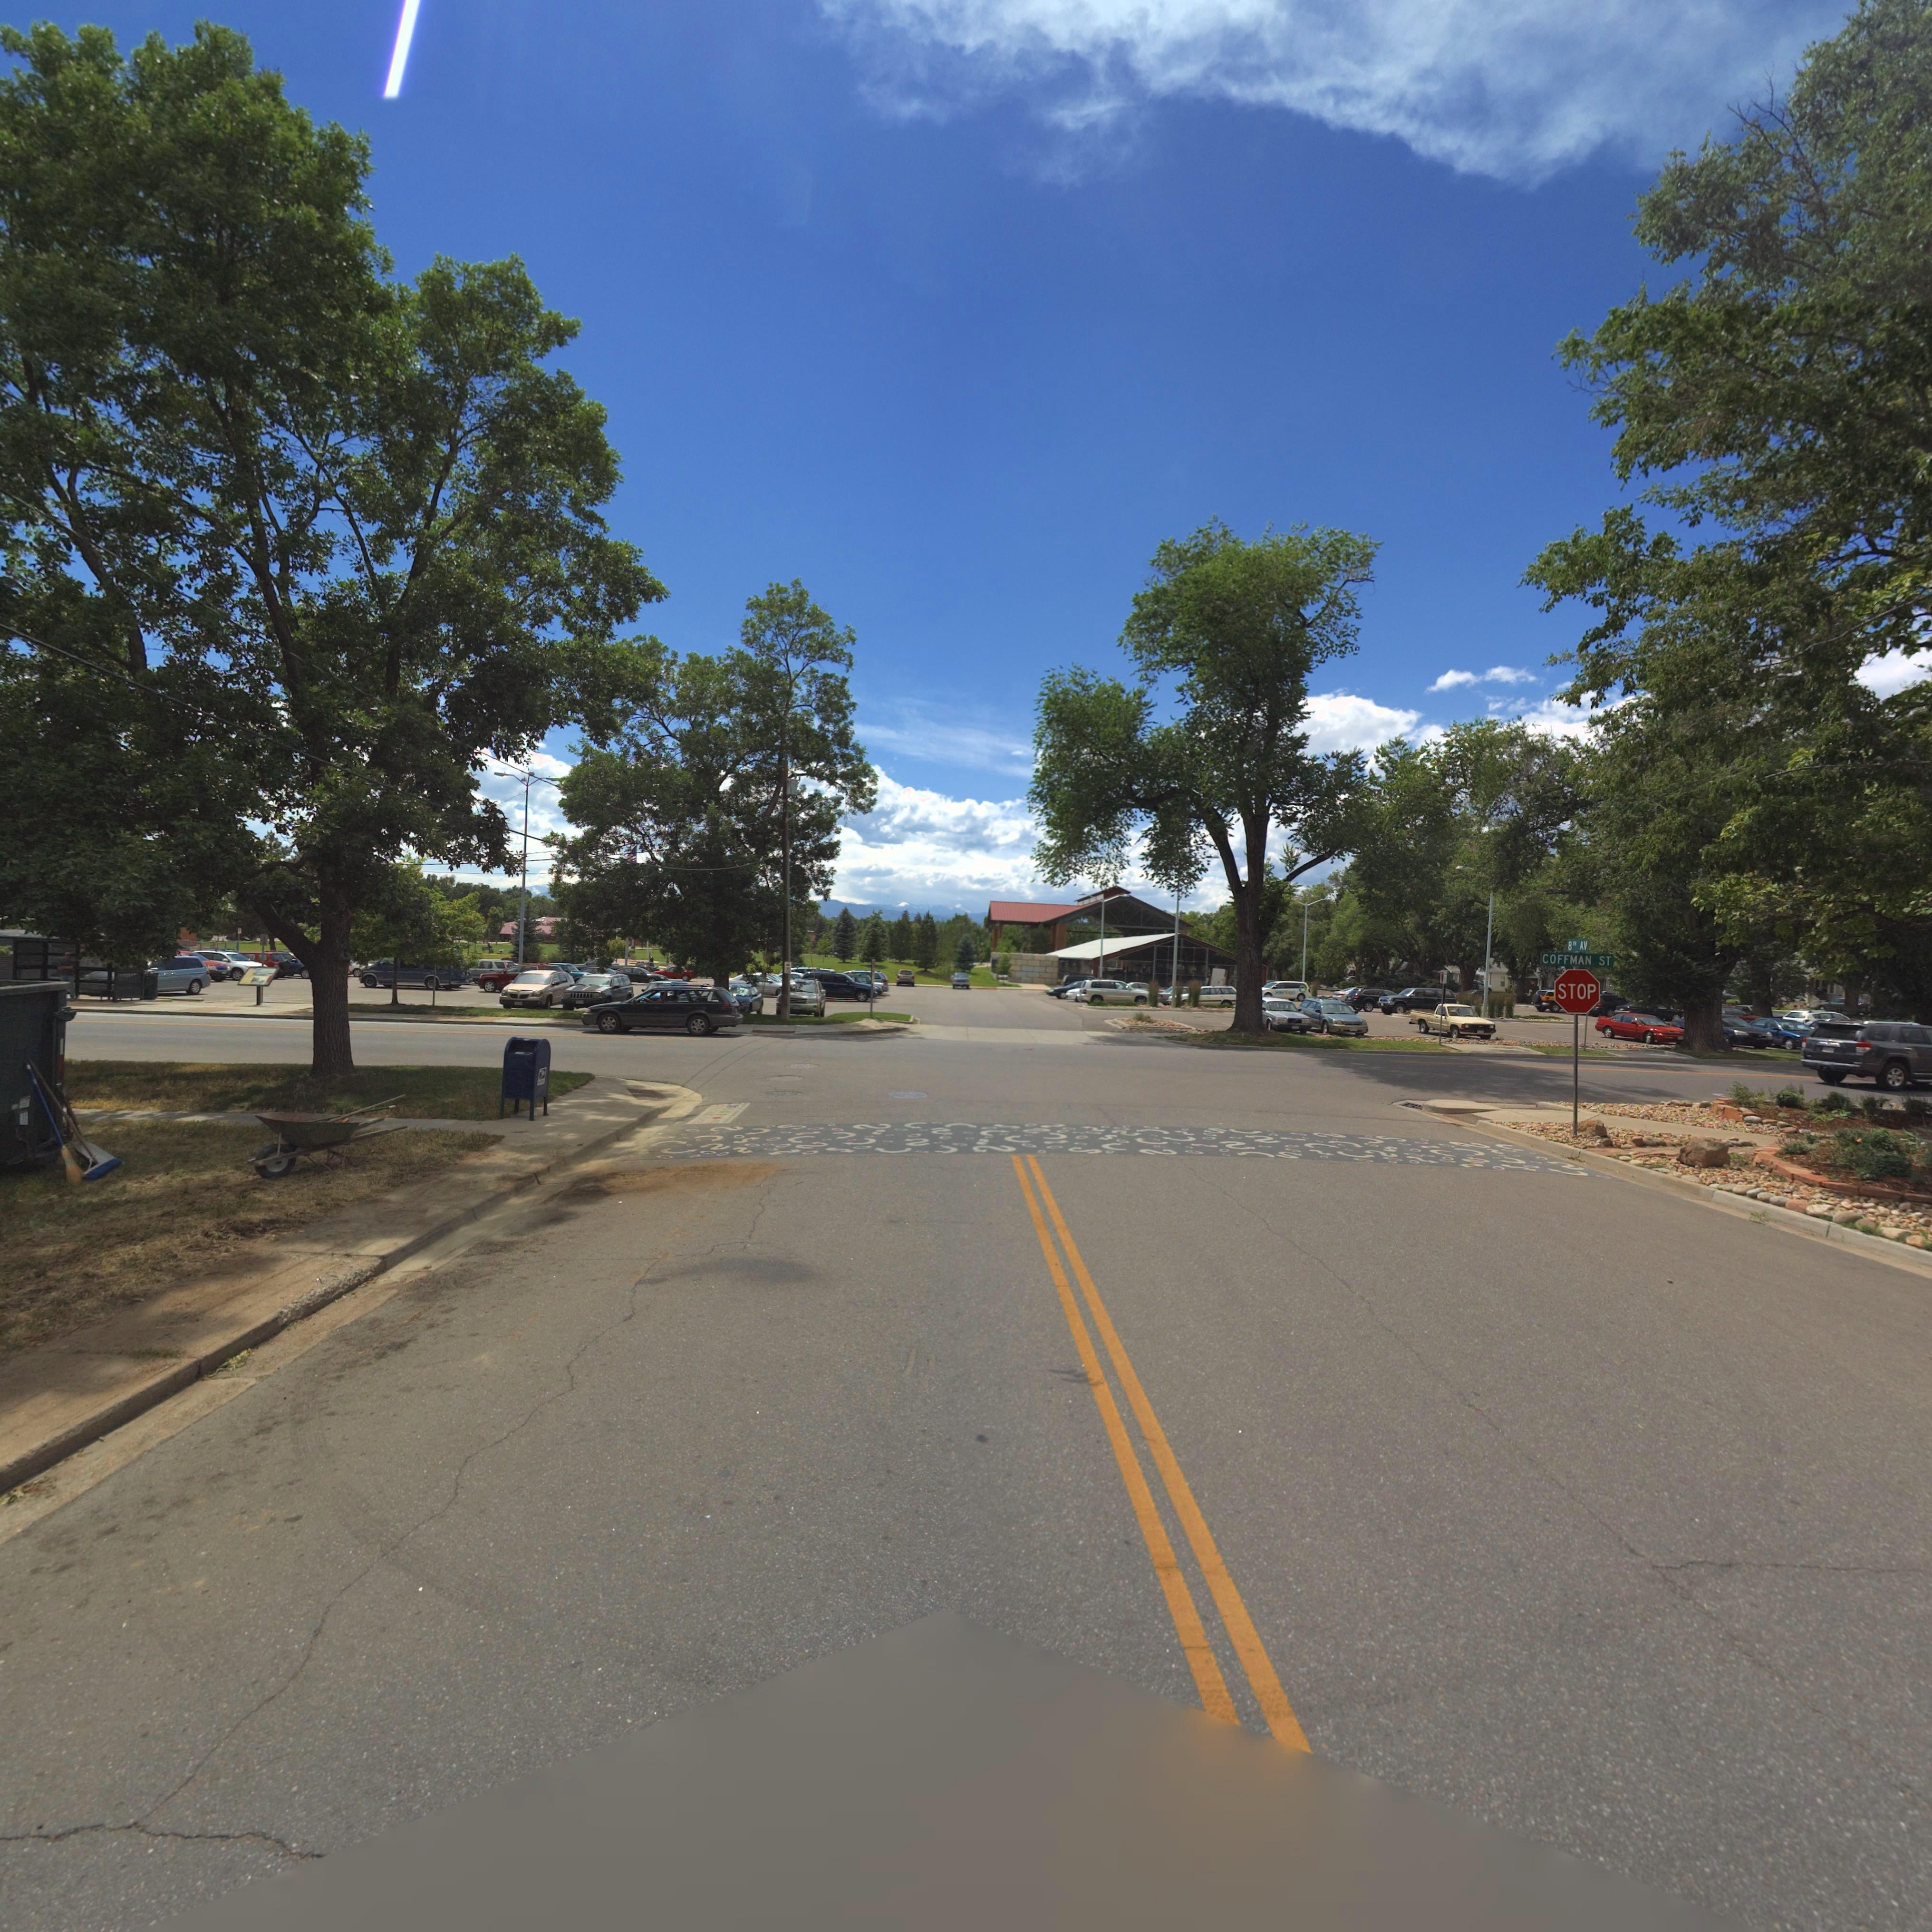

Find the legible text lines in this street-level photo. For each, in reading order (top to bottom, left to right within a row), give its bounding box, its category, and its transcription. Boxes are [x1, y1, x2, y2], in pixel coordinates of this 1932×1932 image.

[1567, 940, 1588, 950] StreetName: 8TH AV
[1542, 953, 1612, 966] StreetName: COFFMAN ST